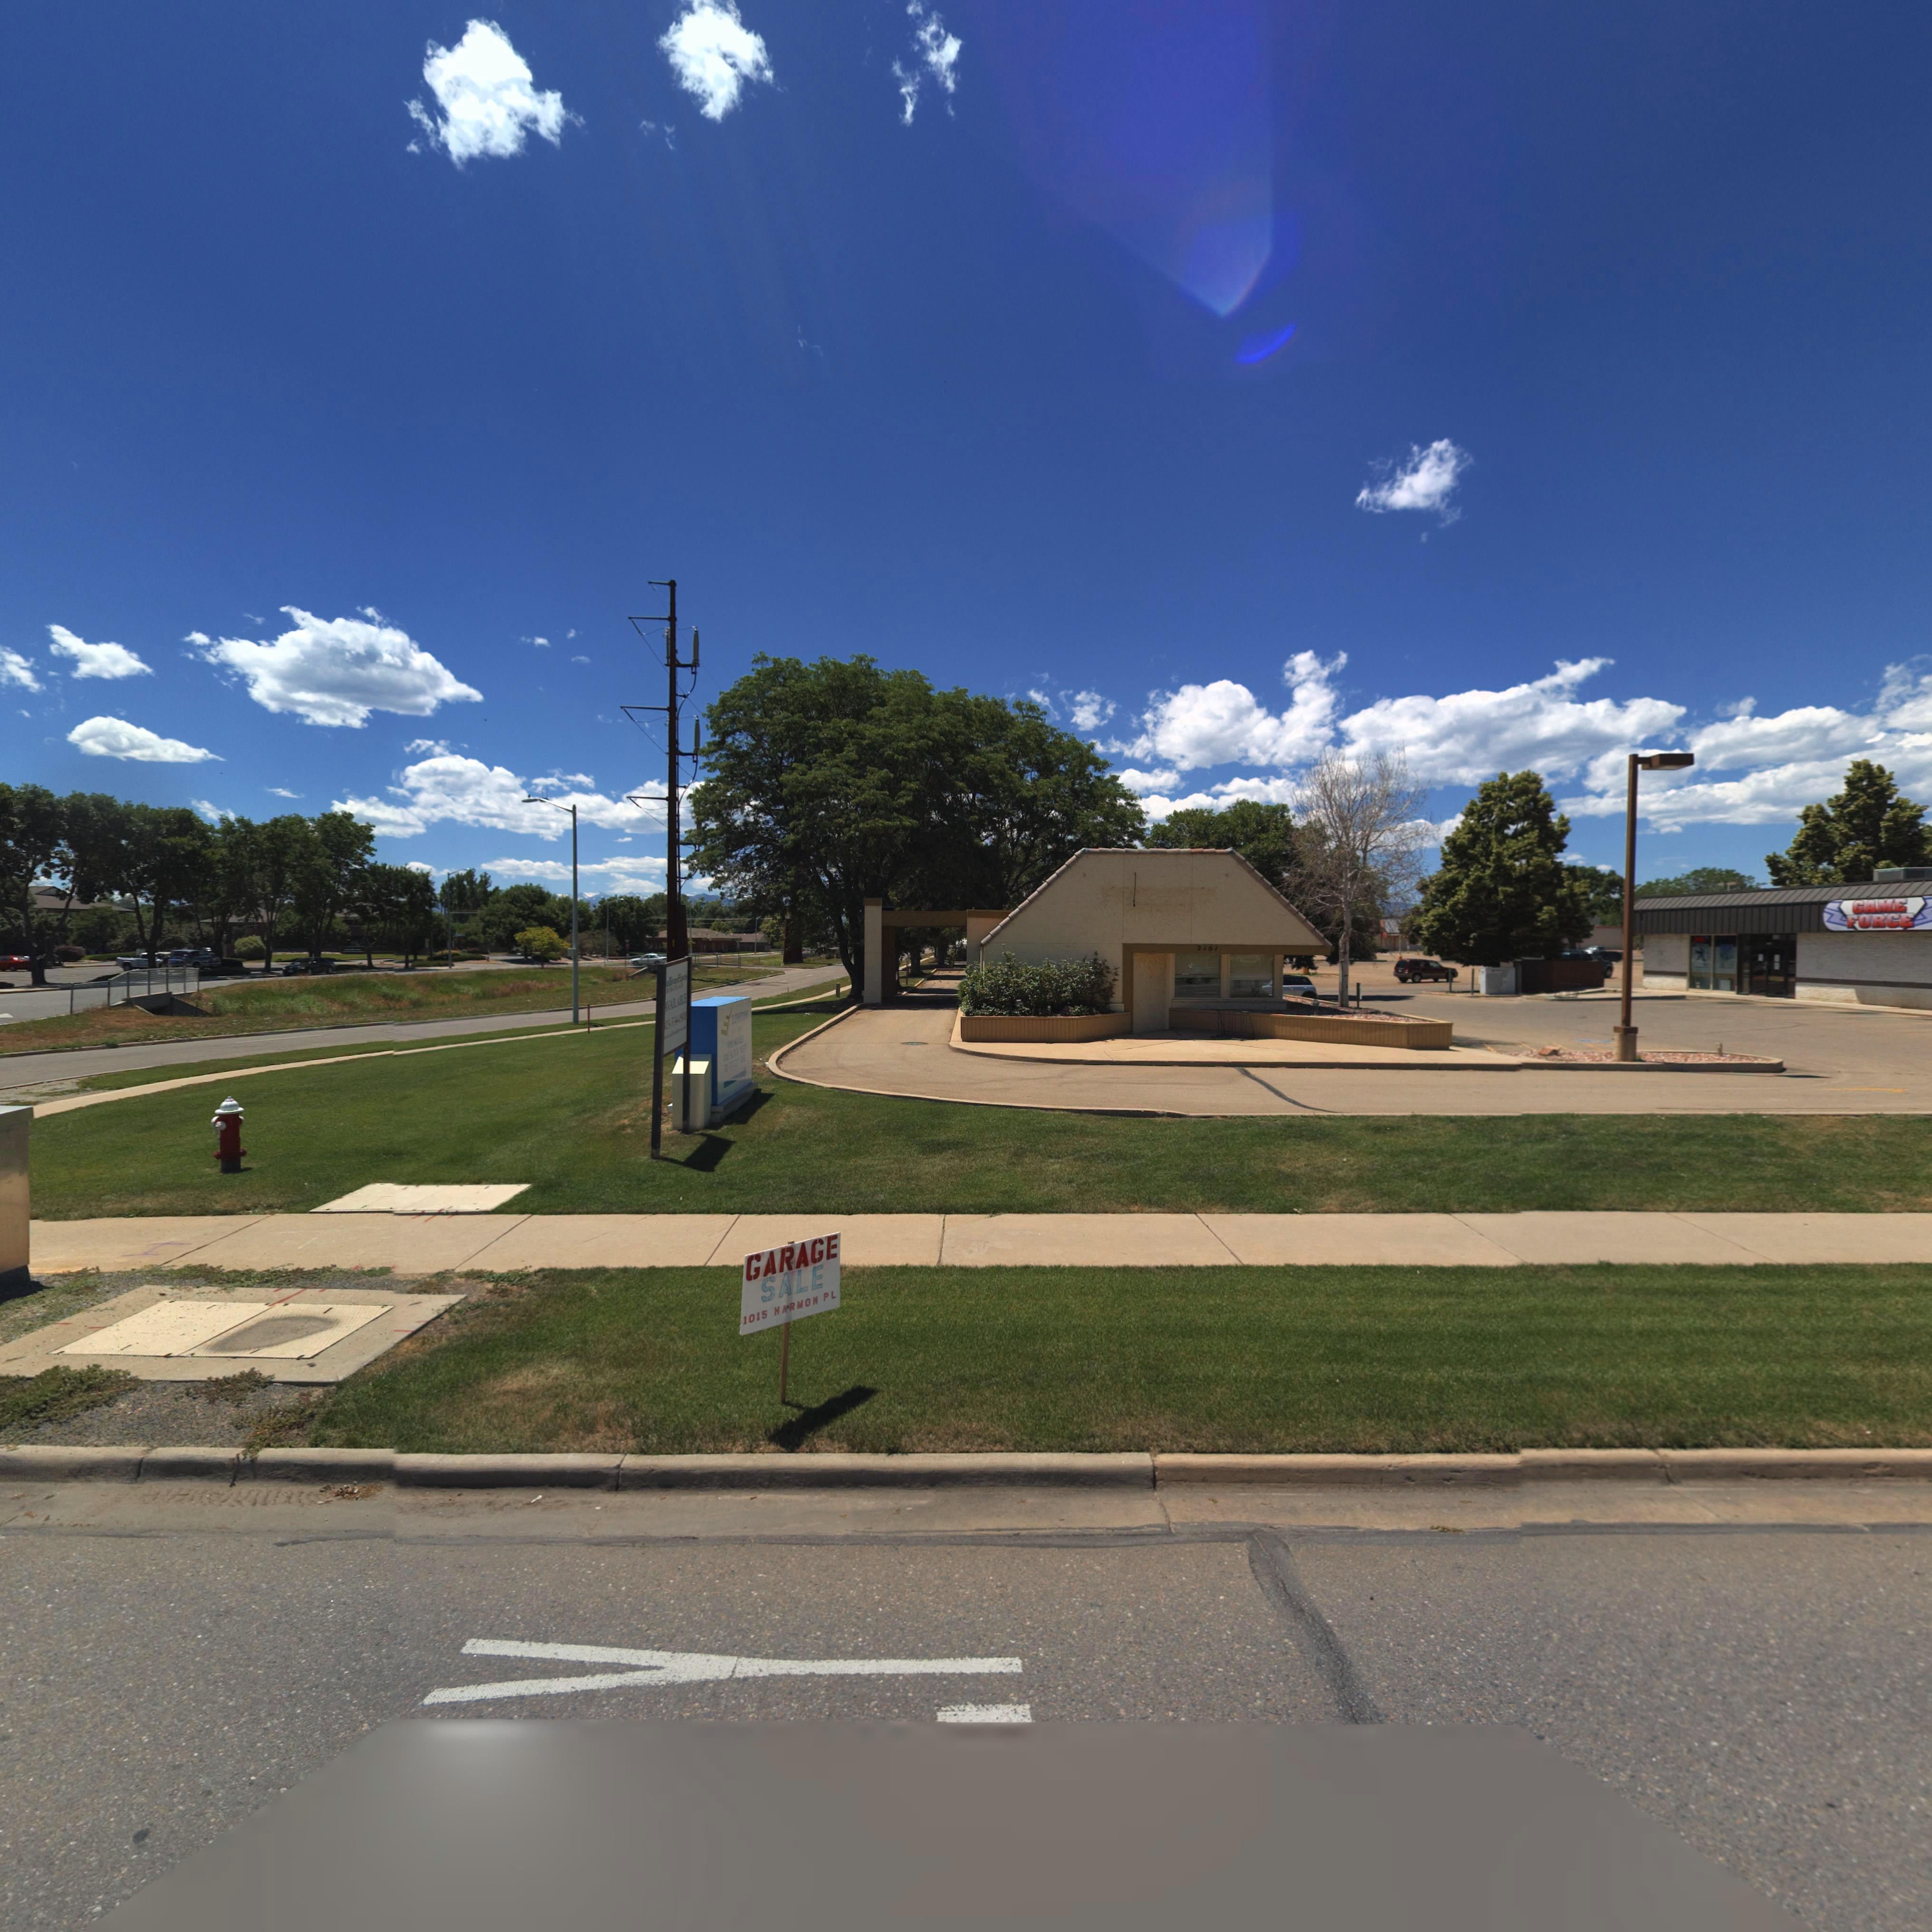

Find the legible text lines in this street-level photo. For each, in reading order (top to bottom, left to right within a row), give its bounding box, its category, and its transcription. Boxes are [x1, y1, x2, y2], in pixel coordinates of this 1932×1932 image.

[1852, 898, 1908, 914] BusinessName: GAME
[1845, 912, 1915, 929] BusinessName: FORCE
[1196, 945, 1218, 951] StreetNumber: 2101